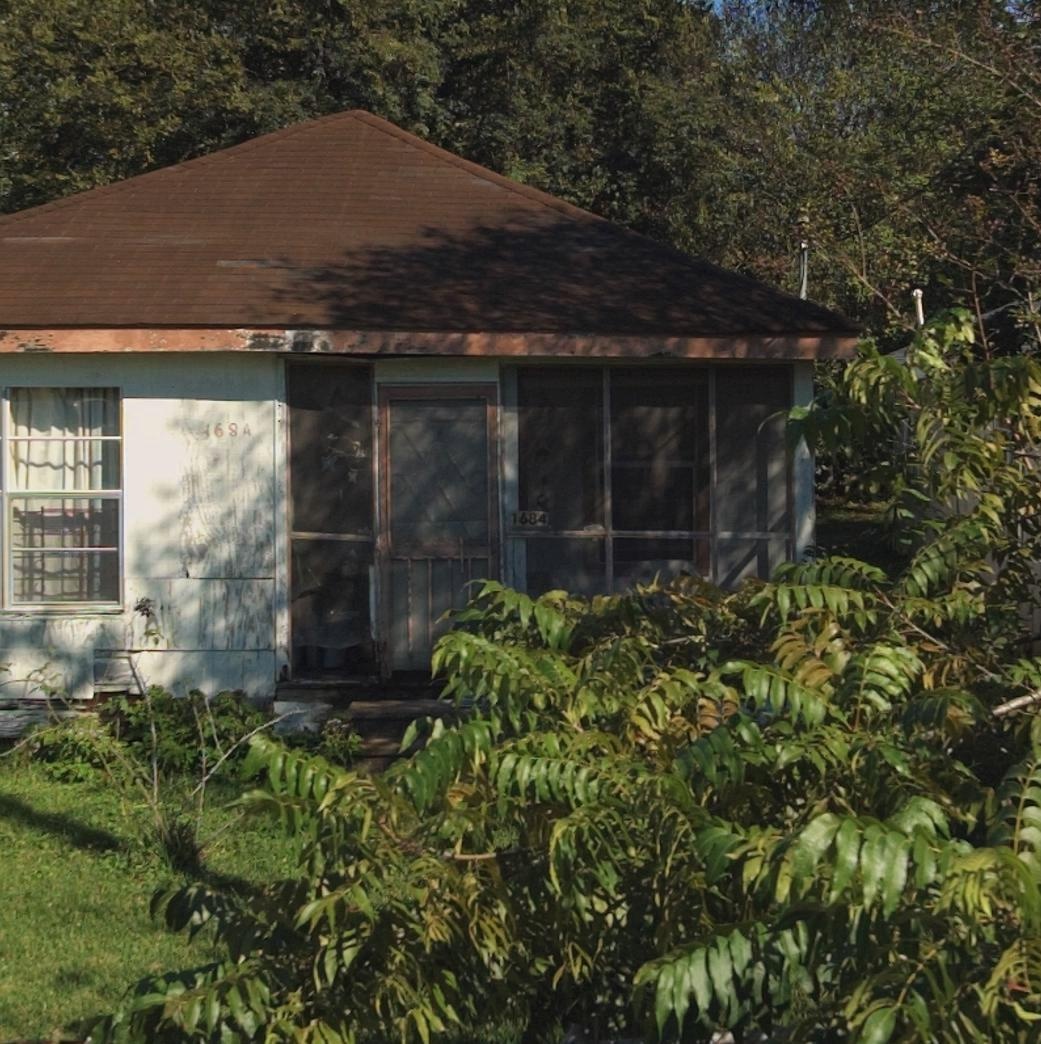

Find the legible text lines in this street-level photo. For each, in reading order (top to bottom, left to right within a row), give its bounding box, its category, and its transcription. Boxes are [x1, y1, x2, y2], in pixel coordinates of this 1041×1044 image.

[202, 421, 252, 438] StreetNumber: 1684
[510, 511, 548, 526] StreetNumber: 1684